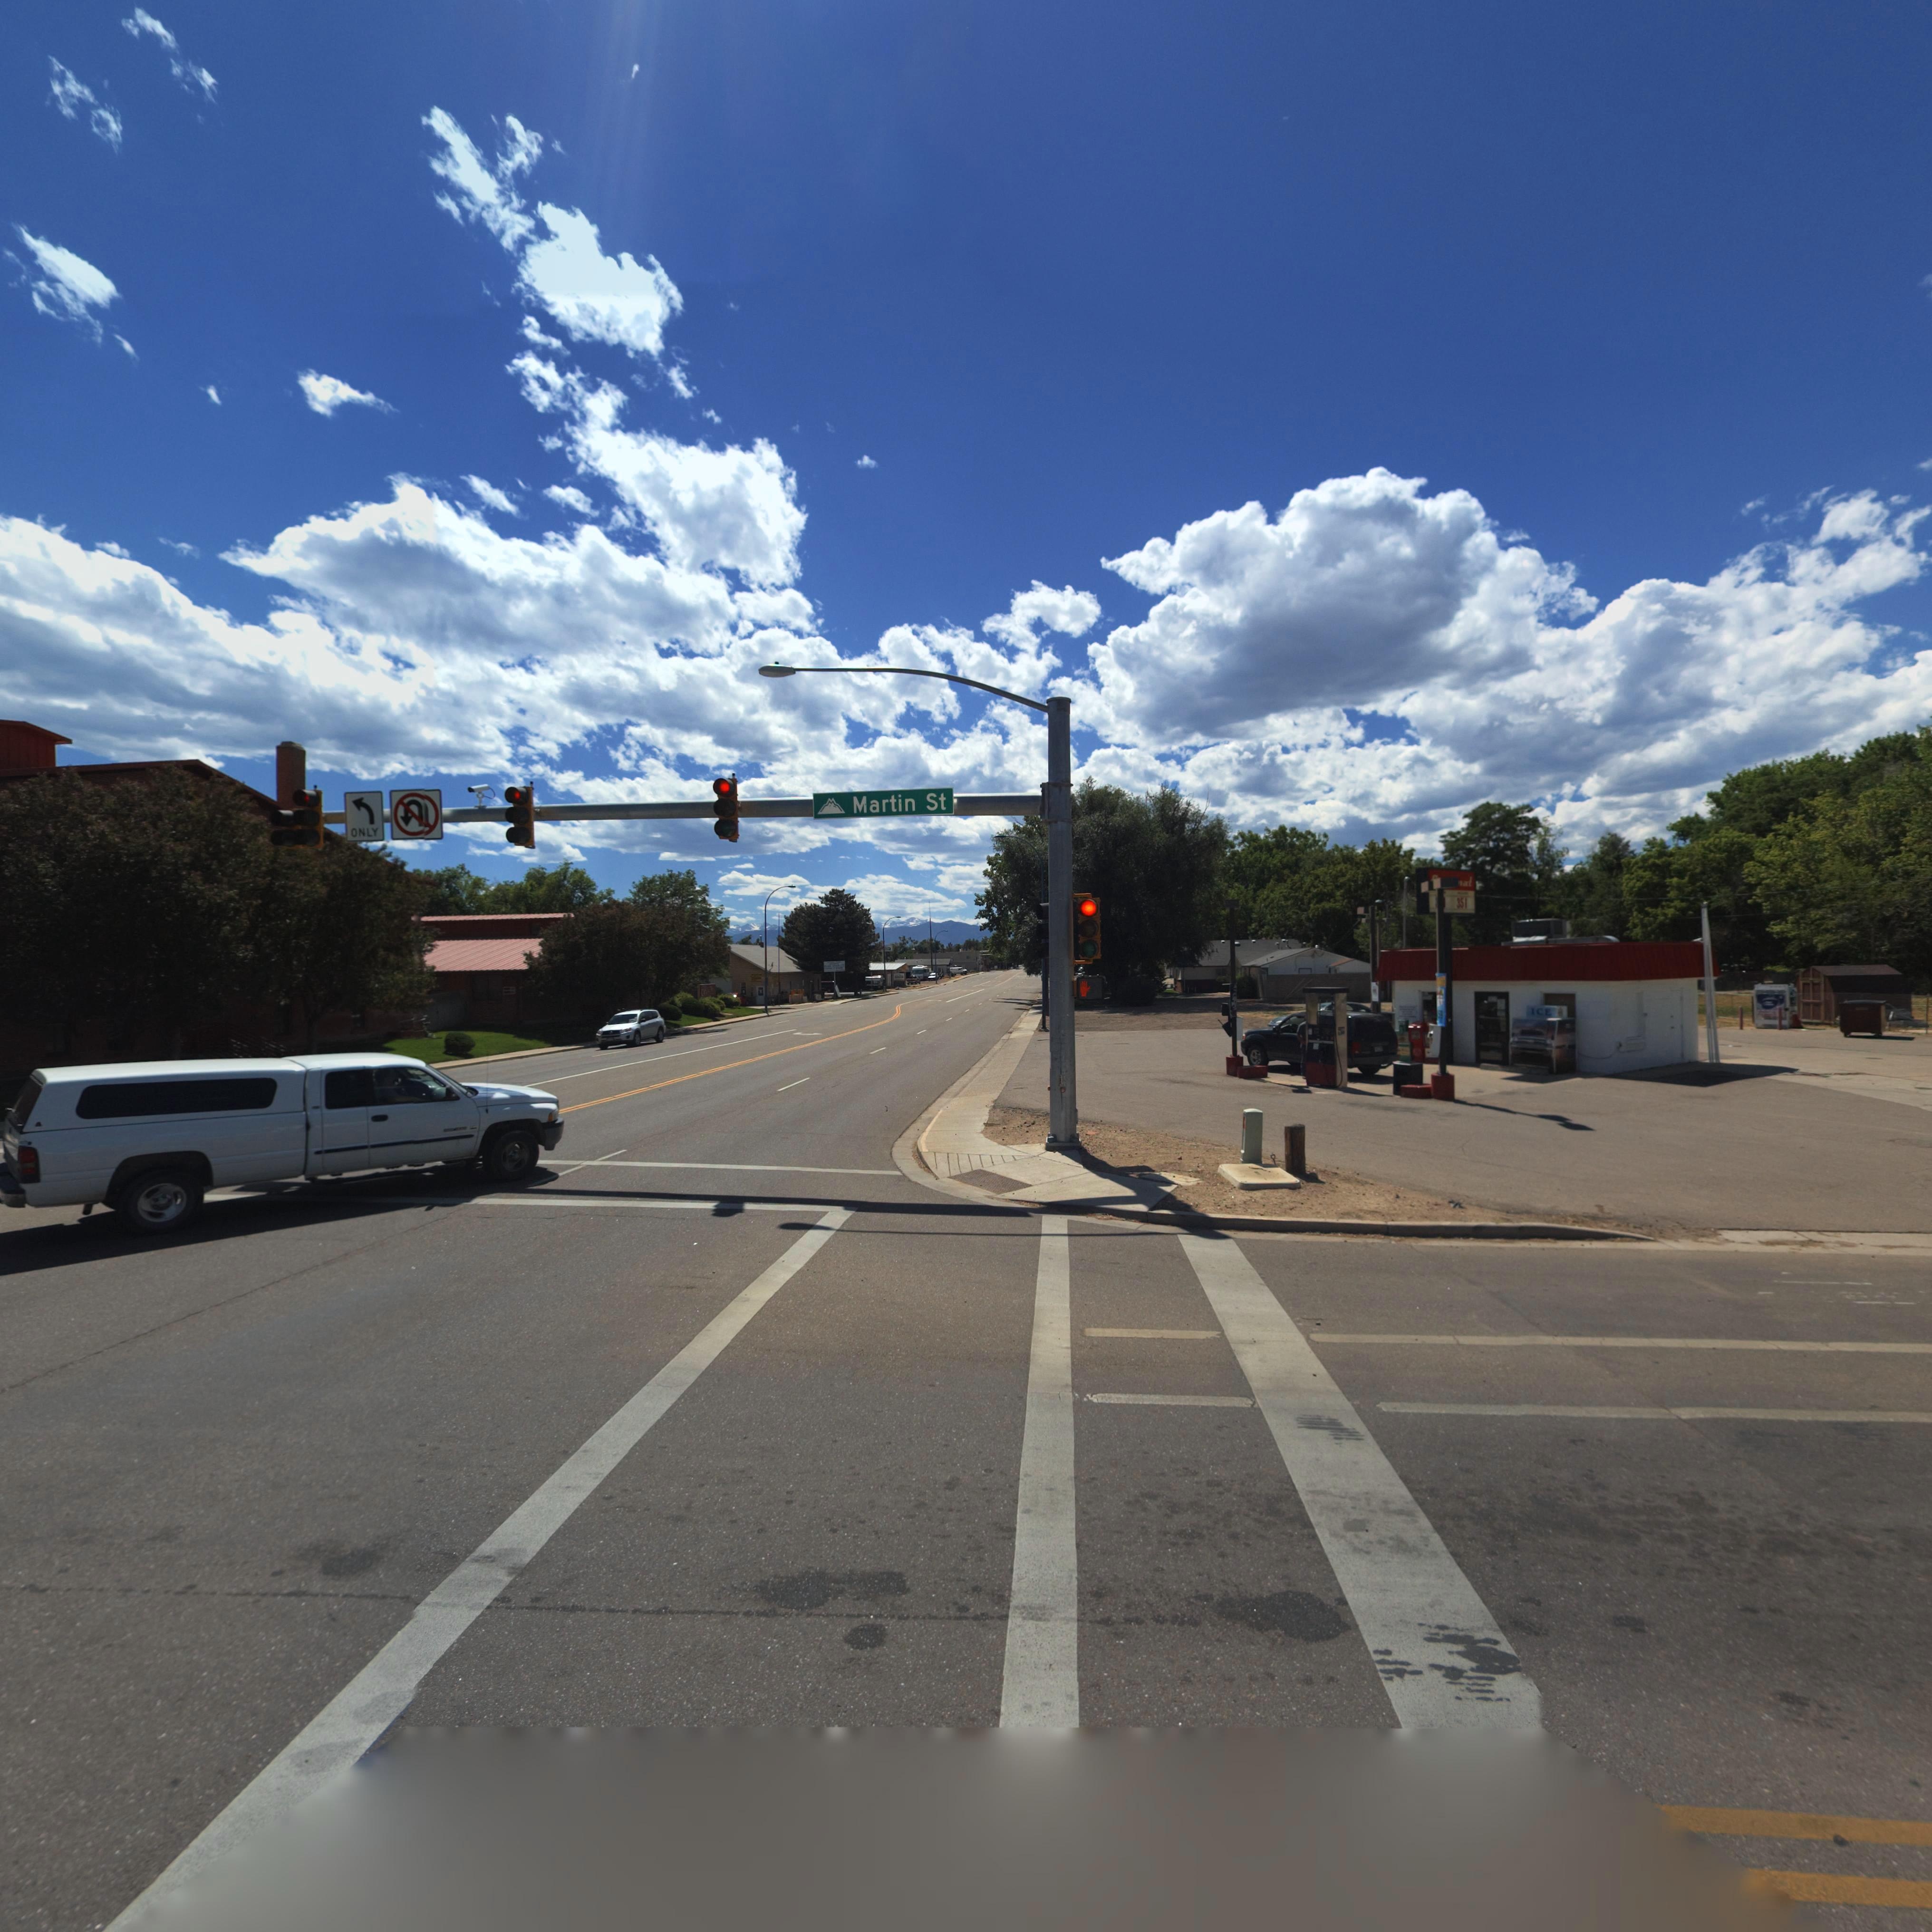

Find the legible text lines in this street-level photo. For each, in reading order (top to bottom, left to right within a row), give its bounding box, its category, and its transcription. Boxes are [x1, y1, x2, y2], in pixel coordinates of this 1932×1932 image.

[852, 792, 946, 814] StreetName: Martin 8
[1458, 875, 1471, 887] BusinessName: *at